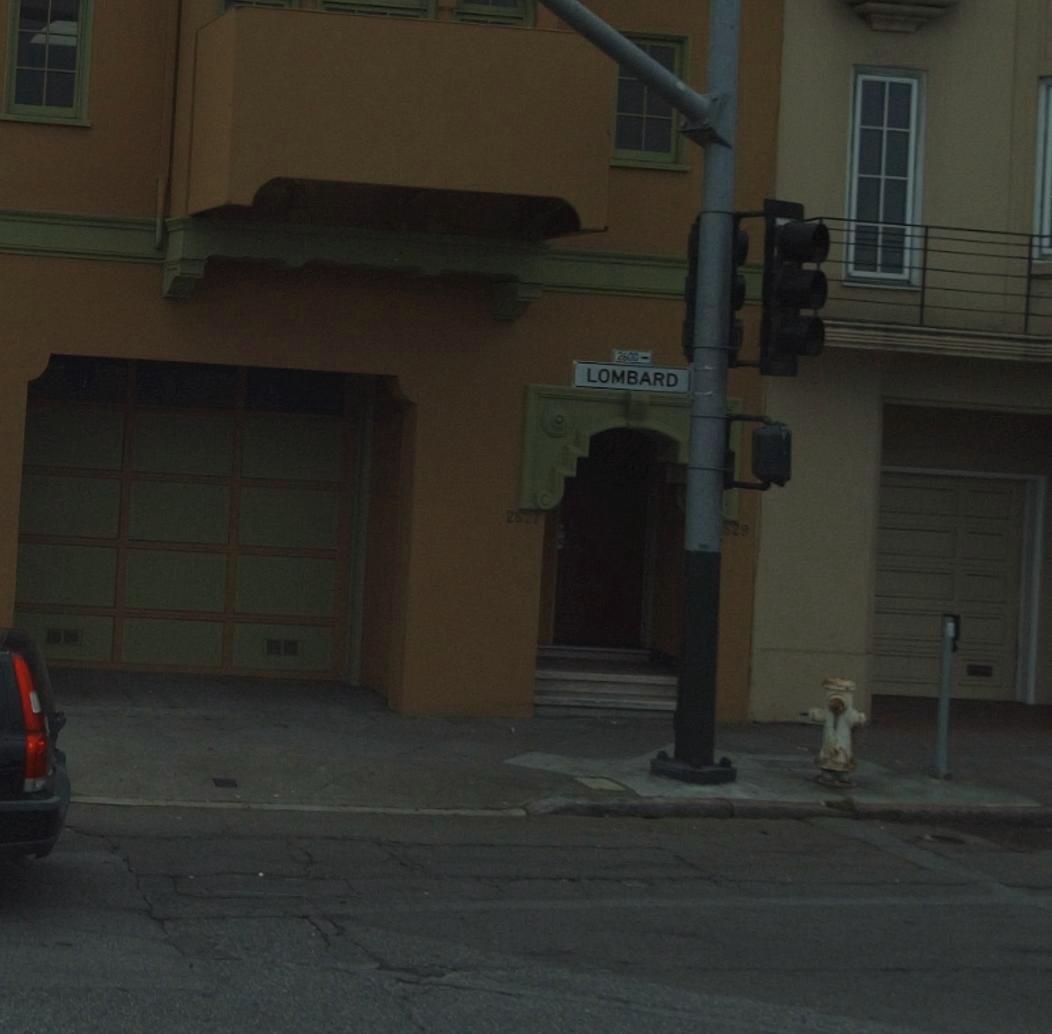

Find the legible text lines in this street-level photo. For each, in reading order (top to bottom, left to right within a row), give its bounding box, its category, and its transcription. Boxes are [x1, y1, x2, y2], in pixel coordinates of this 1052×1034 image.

[616, 351, 651, 362] StreetNumberRange: 2600->
[586, 367, 679, 387] StreetName: LOMBARD
[505, 509, 541, 525] StreetNumber: 2*27
[723, 522, 749, 538] StreetNumber: 529